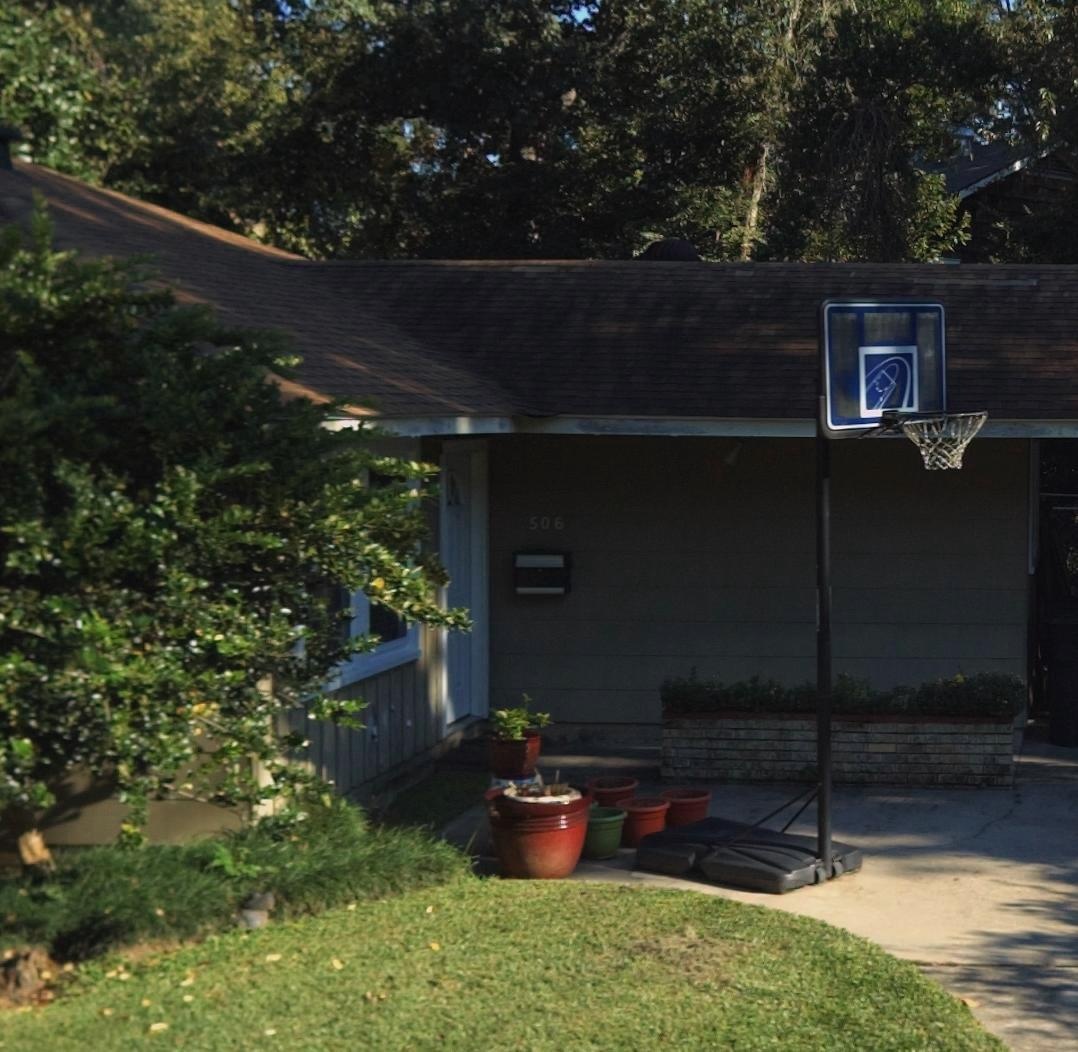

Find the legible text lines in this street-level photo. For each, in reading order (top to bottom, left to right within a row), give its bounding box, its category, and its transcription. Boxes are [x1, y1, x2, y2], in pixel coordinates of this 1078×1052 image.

[526, 514, 566, 532] StreetNumber: 506